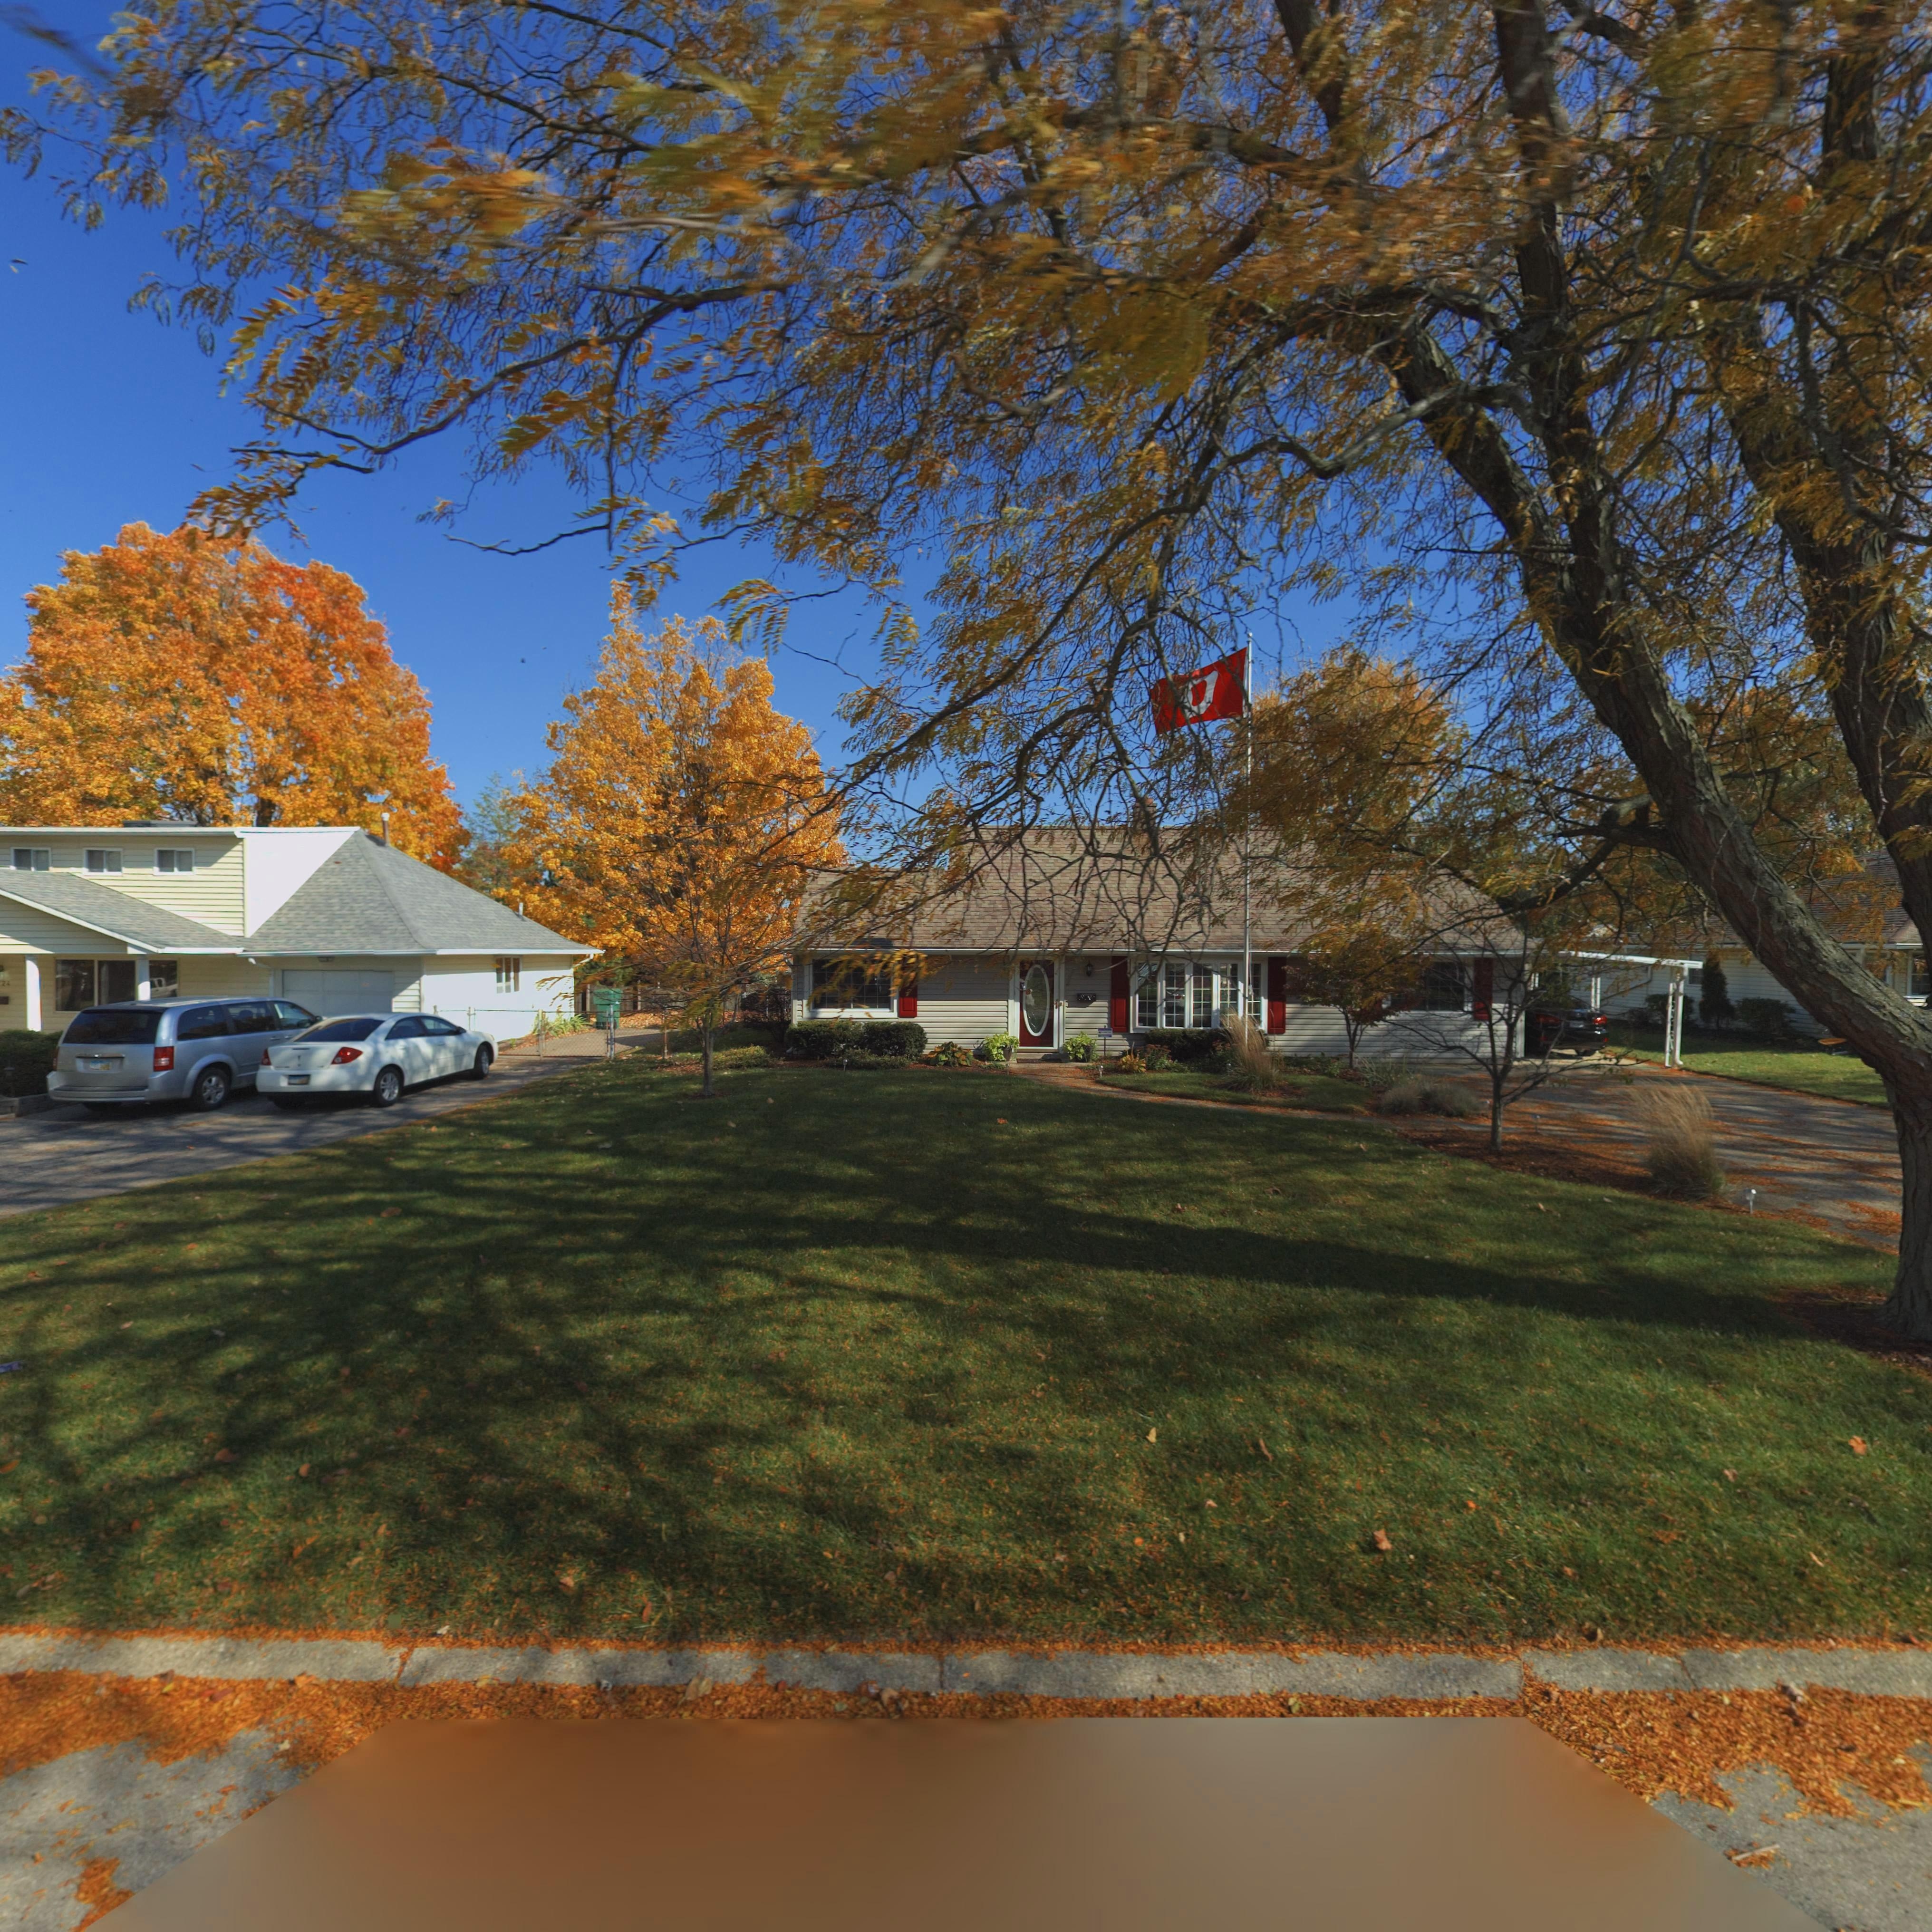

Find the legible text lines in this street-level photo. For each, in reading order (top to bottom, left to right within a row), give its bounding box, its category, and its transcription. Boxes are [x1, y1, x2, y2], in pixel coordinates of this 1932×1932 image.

[0, 979, 11, 987] StreetNumber: 24